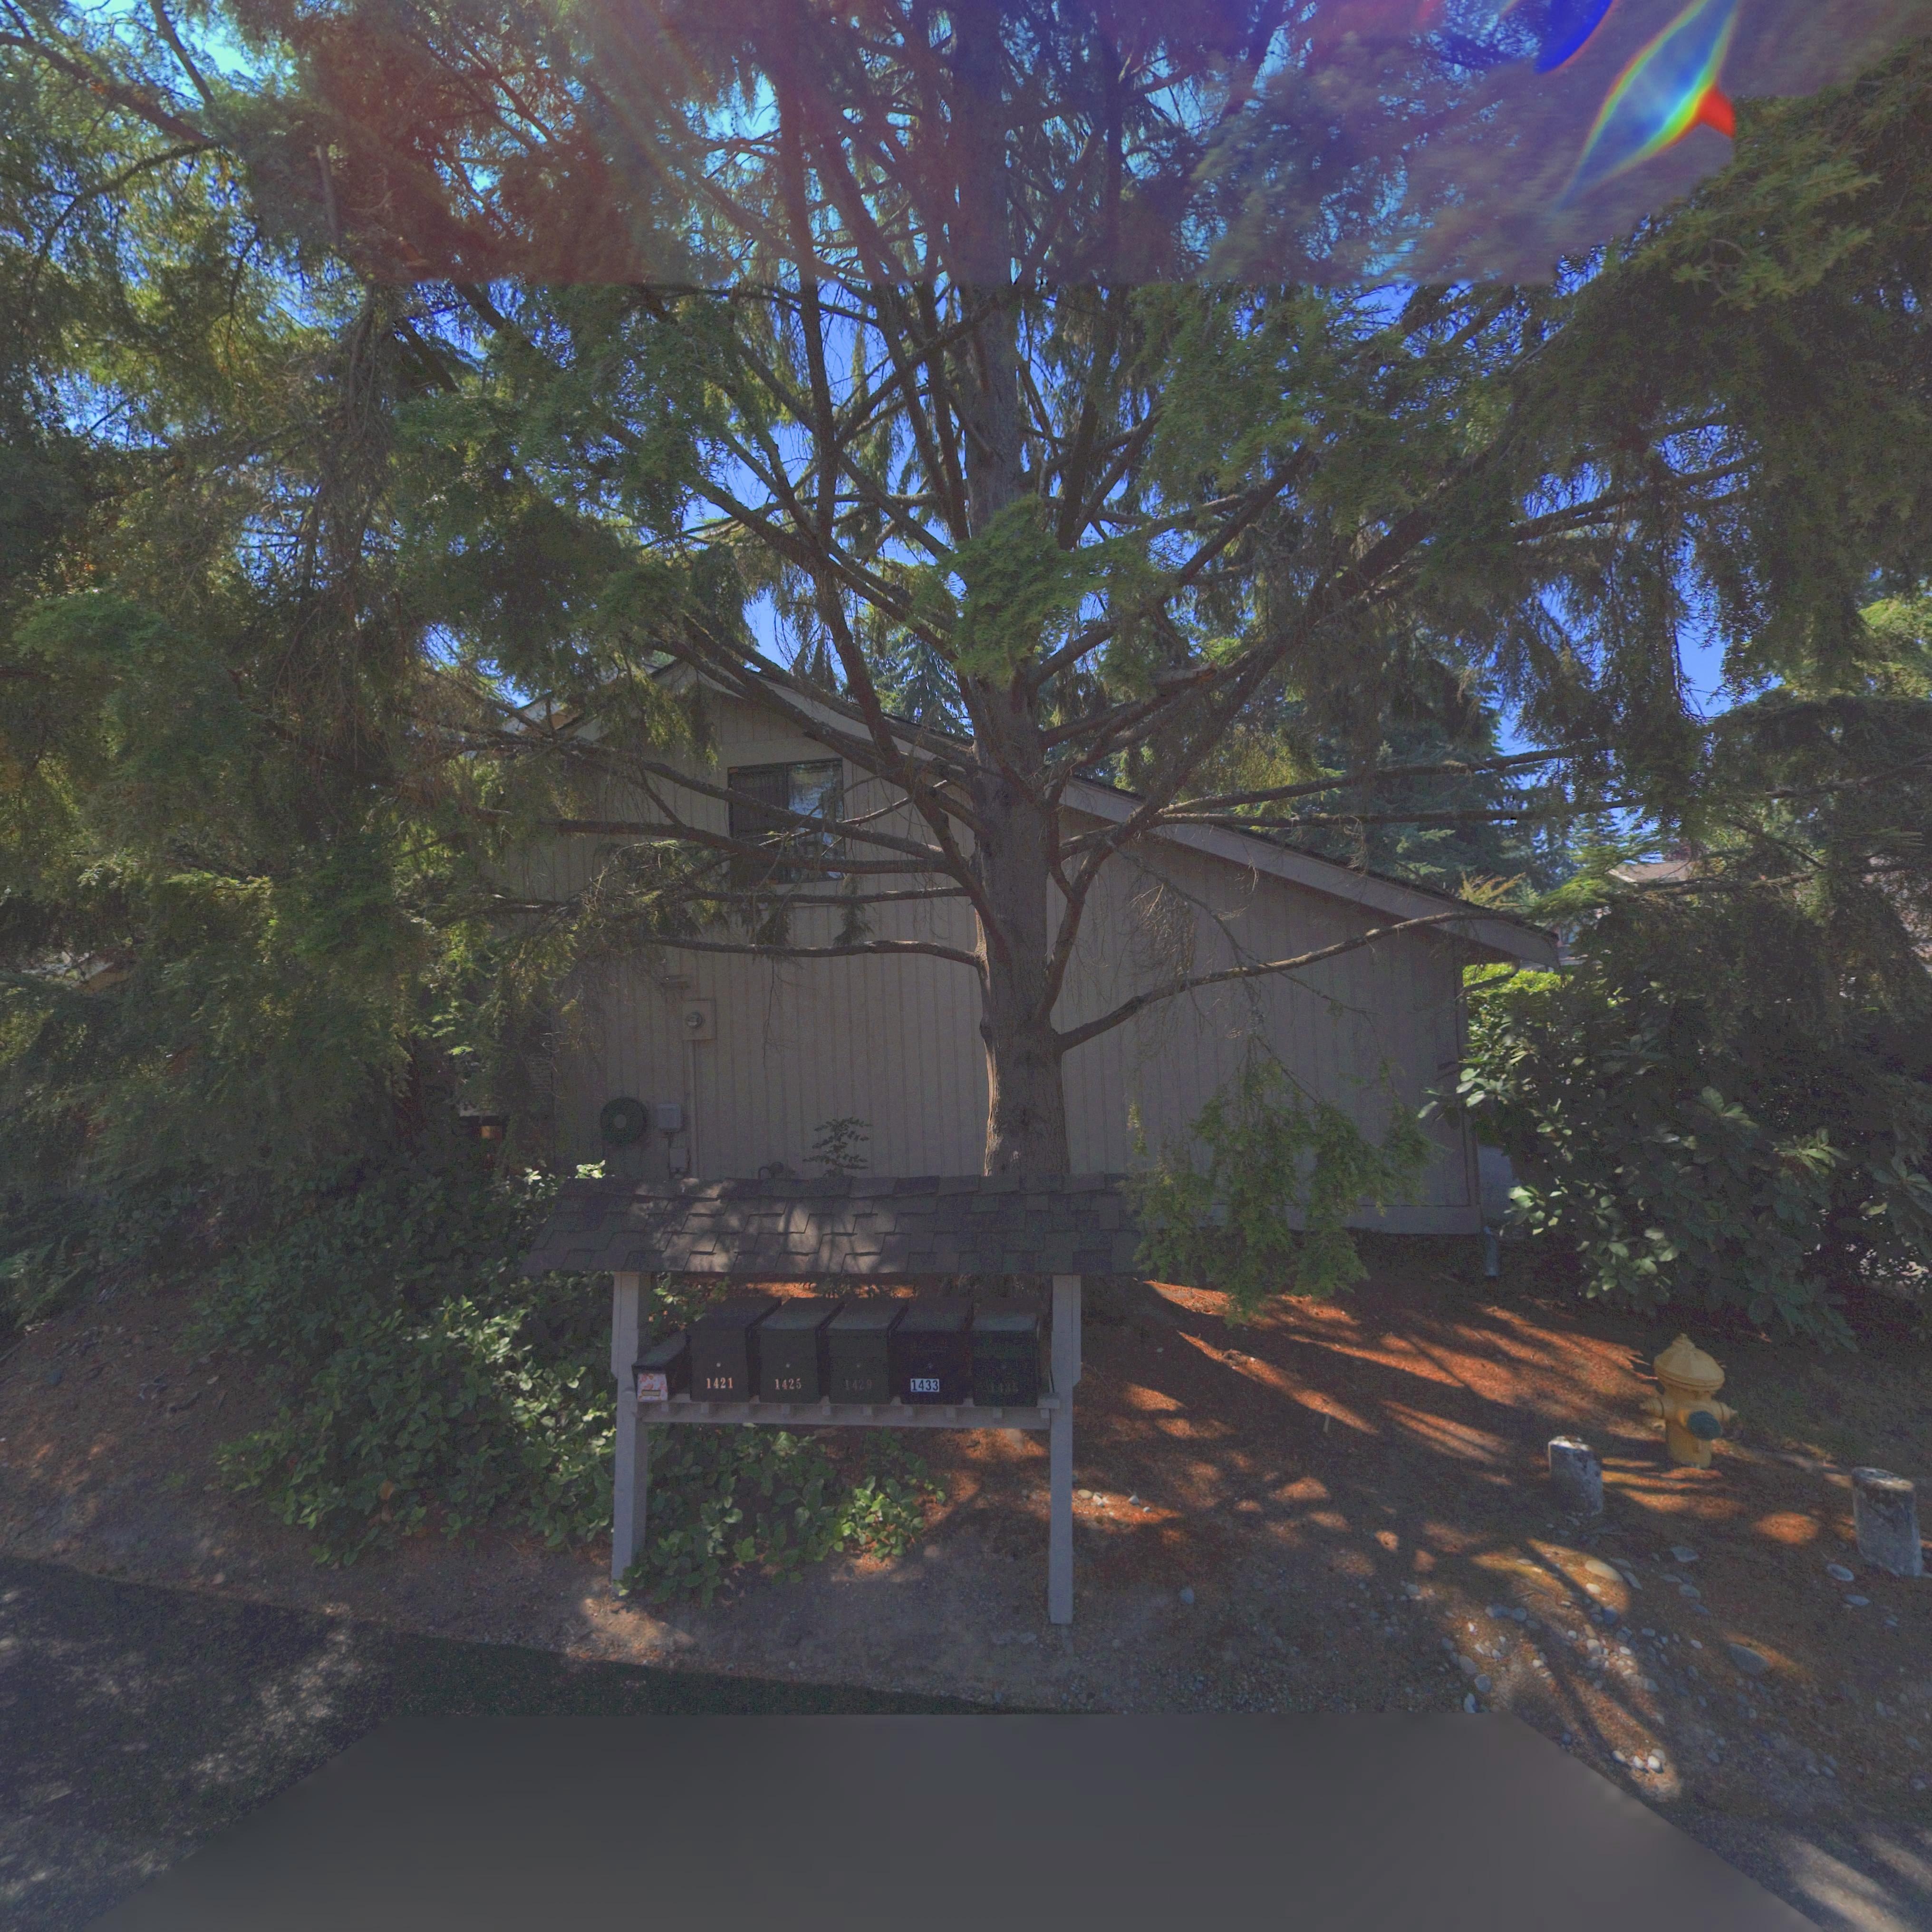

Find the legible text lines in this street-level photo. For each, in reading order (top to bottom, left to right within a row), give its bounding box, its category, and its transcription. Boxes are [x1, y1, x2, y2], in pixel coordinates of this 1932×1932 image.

[706, 1377, 733, 1390] StreetNumber: 1421
[774, 1377, 802, 1390] StreetNumber: 1425
[844, 1378, 872, 1391] StreetNumber: 1429
[911, 1379, 938, 1390] StreetNumber: 1433